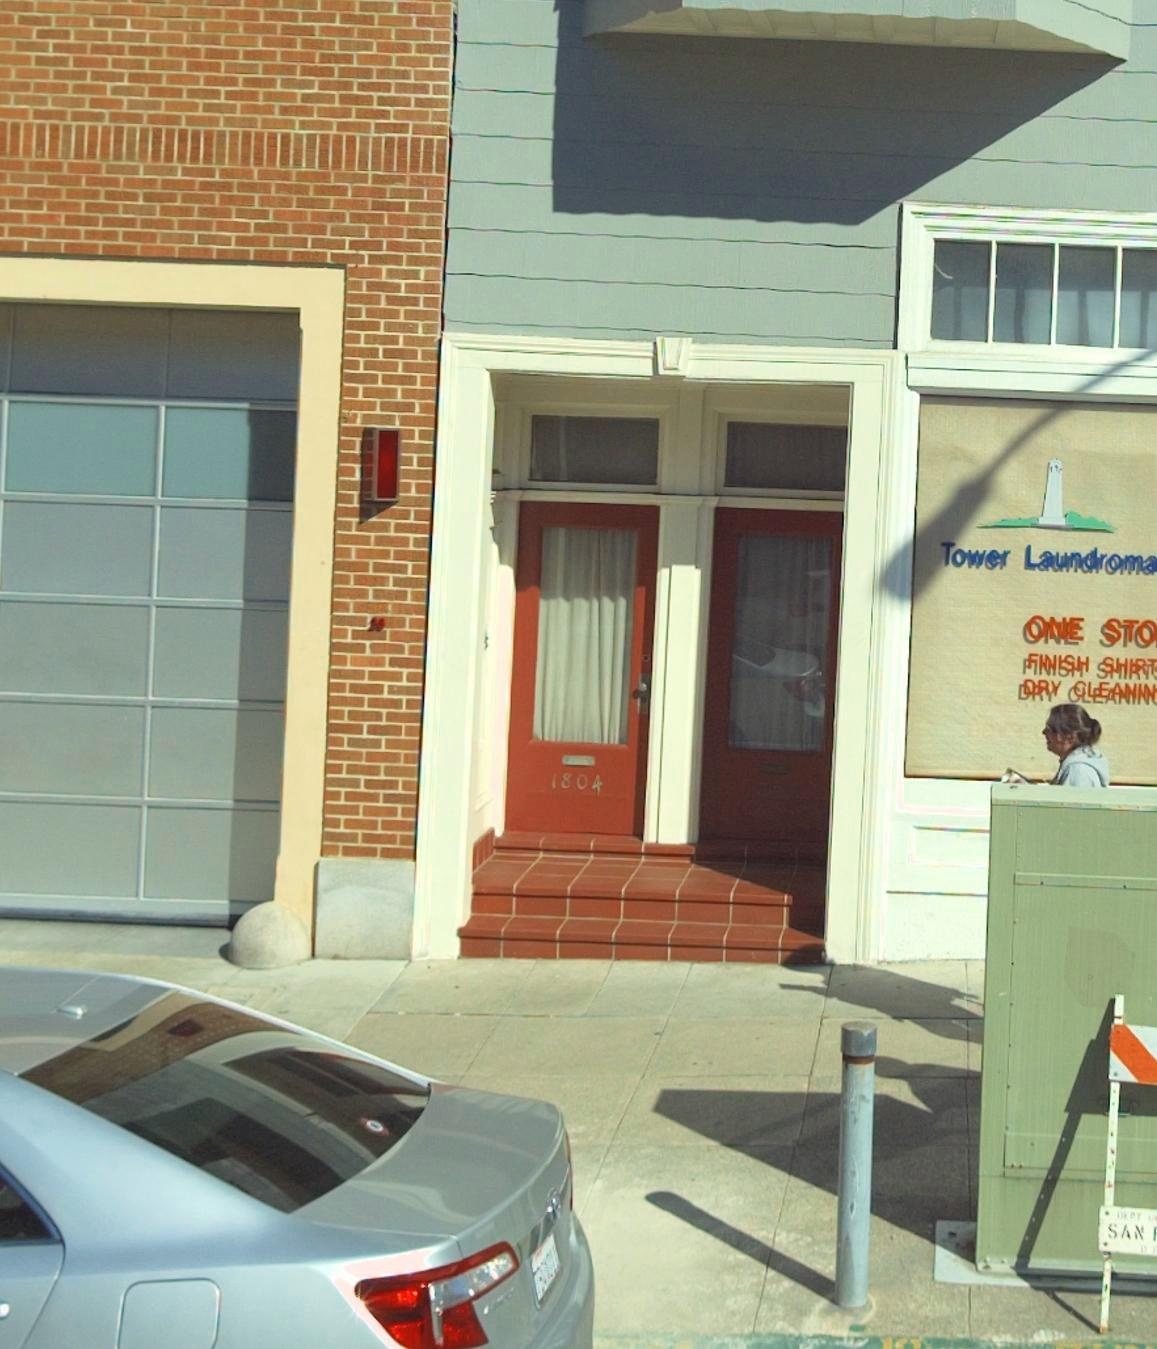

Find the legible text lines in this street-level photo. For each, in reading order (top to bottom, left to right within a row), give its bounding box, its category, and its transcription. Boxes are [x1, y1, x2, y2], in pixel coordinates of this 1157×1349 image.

[939, 540, 1145, 574] None: Tower Laundrom
[1023, 612, 1144, 646] None: ONE ST
[549, 768, 606, 797] StreetNumber: 1804
[1106, 1220, 1146, 1242] None: SAN